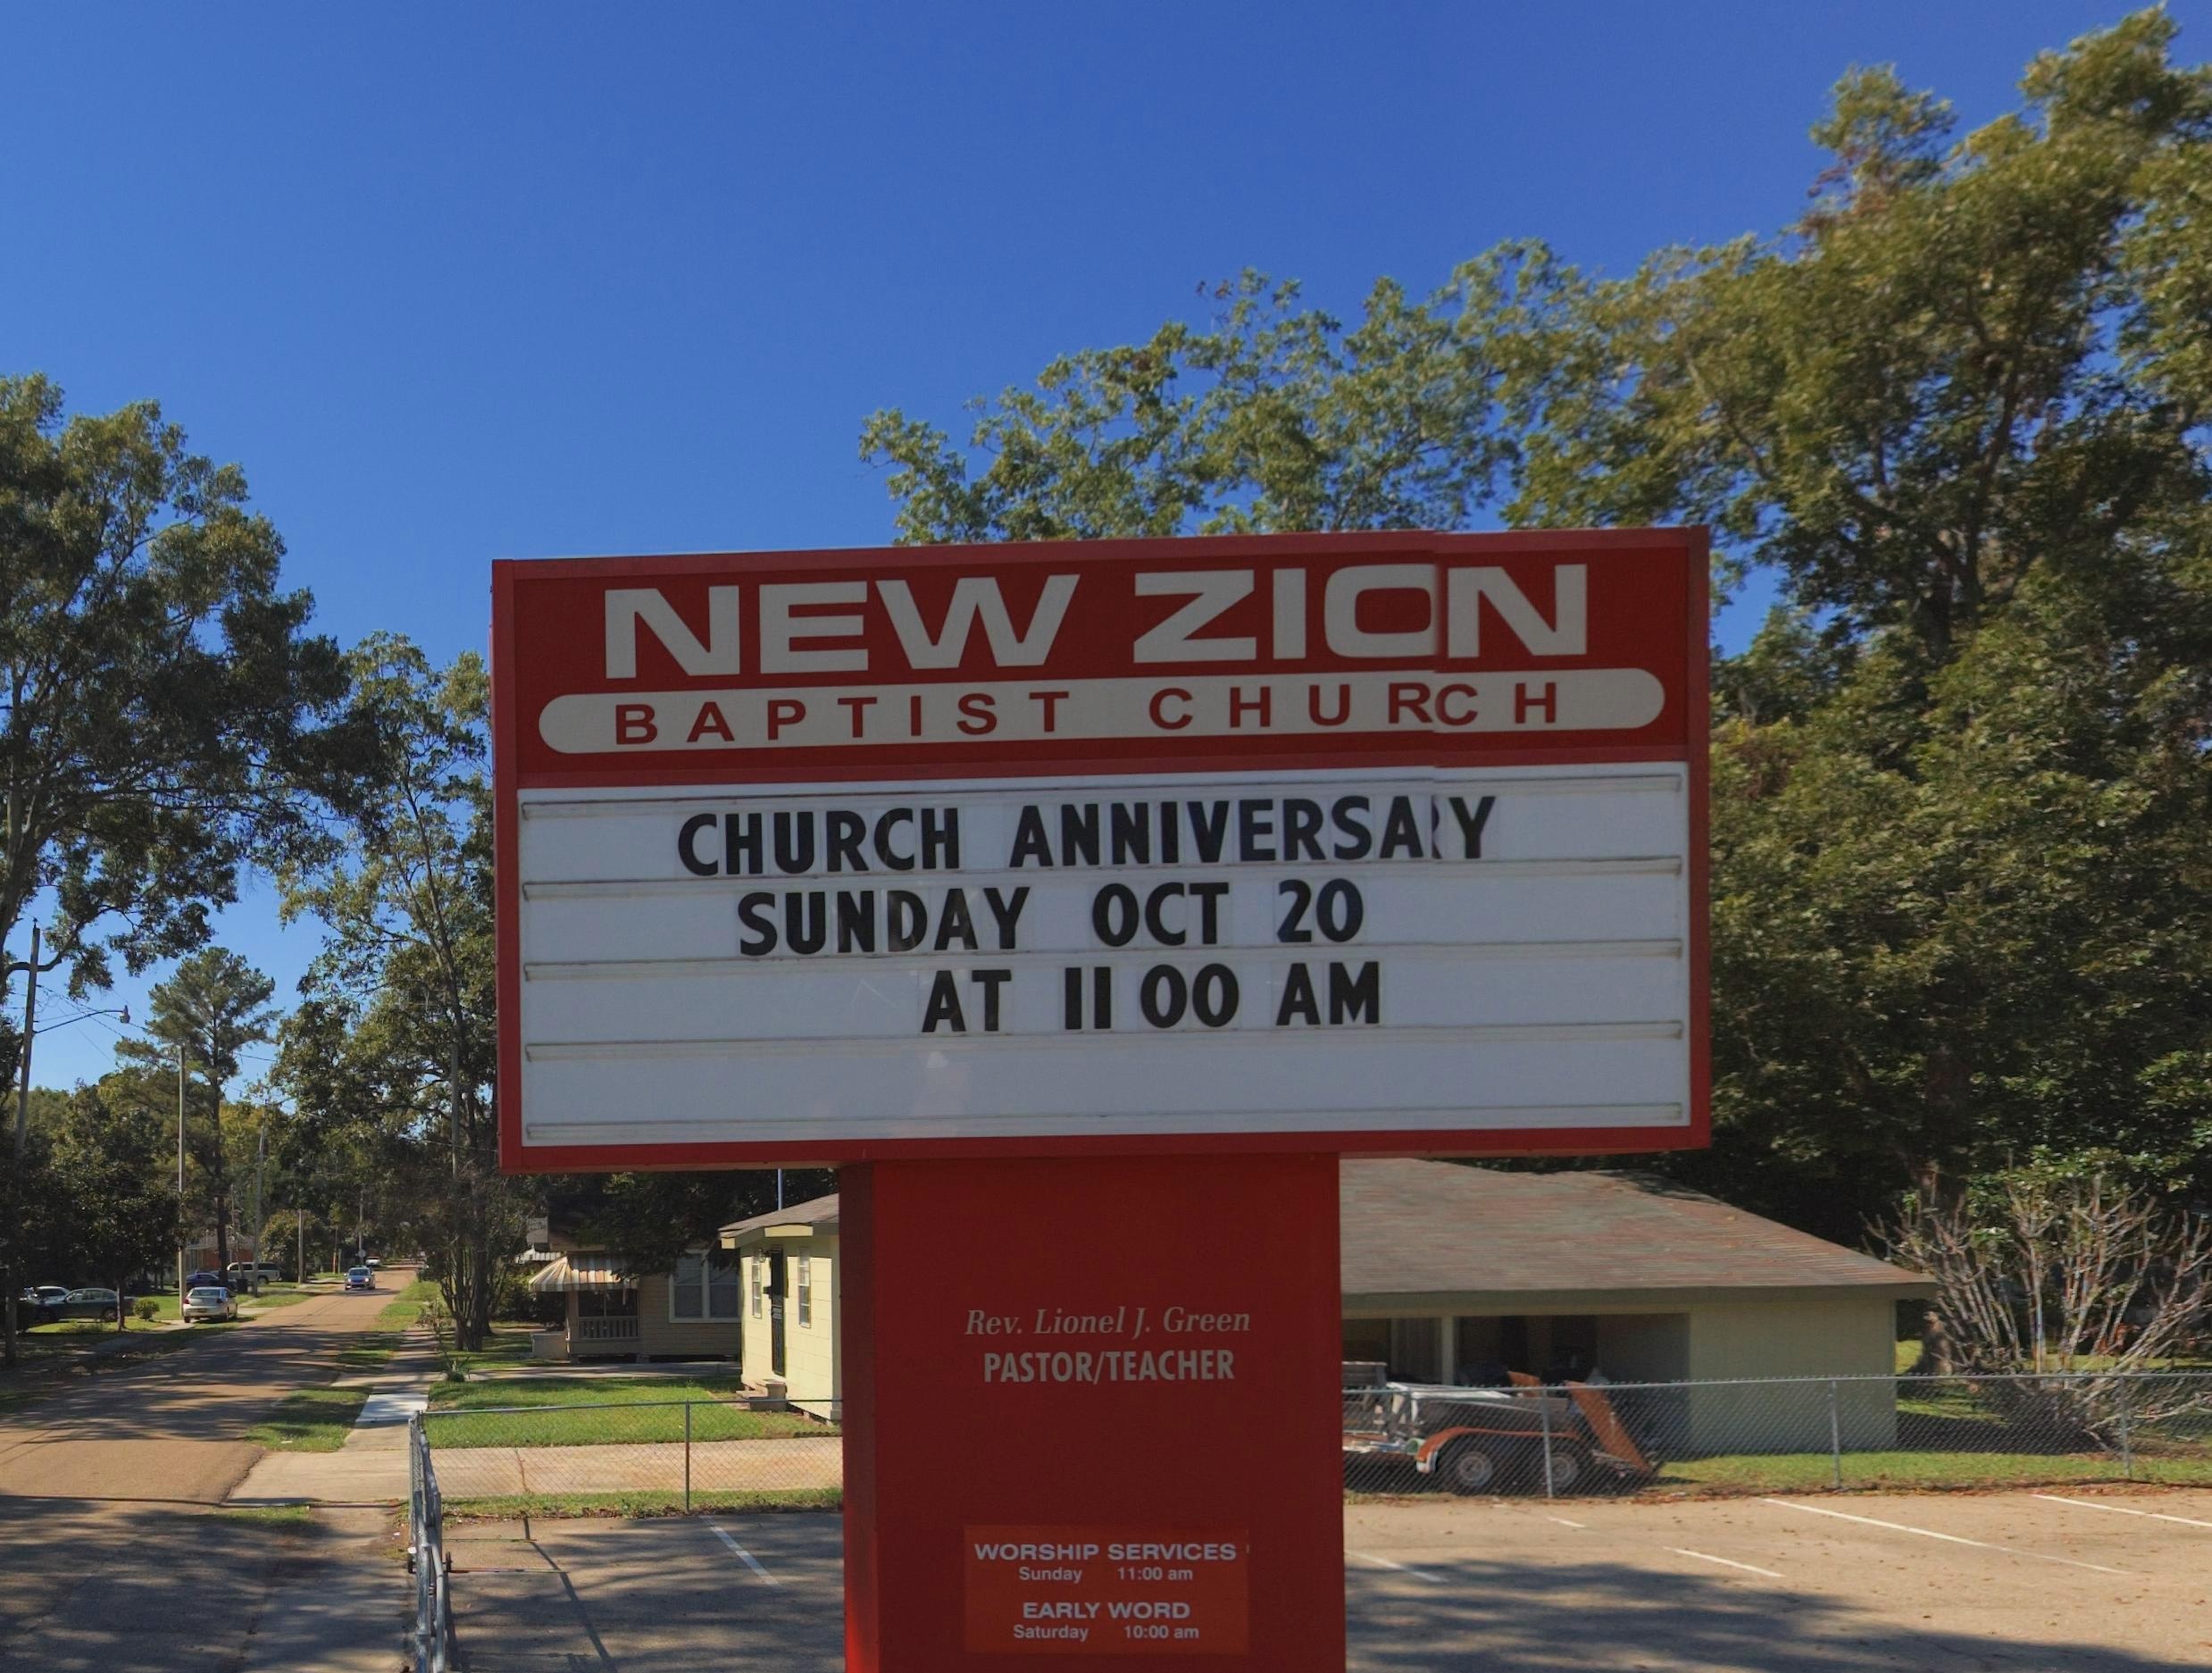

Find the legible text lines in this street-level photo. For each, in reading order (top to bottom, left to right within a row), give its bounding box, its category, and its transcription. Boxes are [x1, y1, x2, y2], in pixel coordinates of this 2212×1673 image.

[601, 560, 1592, 683] BusinessName: NEW ZI*N
[612, 677, 1561, 748] BusinessName: BAPTIST CHU**H
[672, 789, 1503, 882] None: CHURCH ANNIVERSA*Y
[731, 870, 1370, 962] None: SUNDAY OCT 20
[914, 953, 1386, 1038] None: AT 11 00 AM
[960, 1302, 1252, 1343] None: Rev. Lionel J. Green
[981, 1345, 1238, 1384] None: PASTOR/TEACHER
[971, 1541, 1240, 1563] None: WORSHIP SERVICES
[1017, 1564, 1085, 1585] None: Sunday
[1115, 1564, 1196, 1584] None: 11:00 am
[1021, 1600, 1193, 1622] None: EARLY WORD
[1011, 1622, 1092, 1644] None: Saturday
[1121, 1622, 1201, 1641] None: 10:00 am